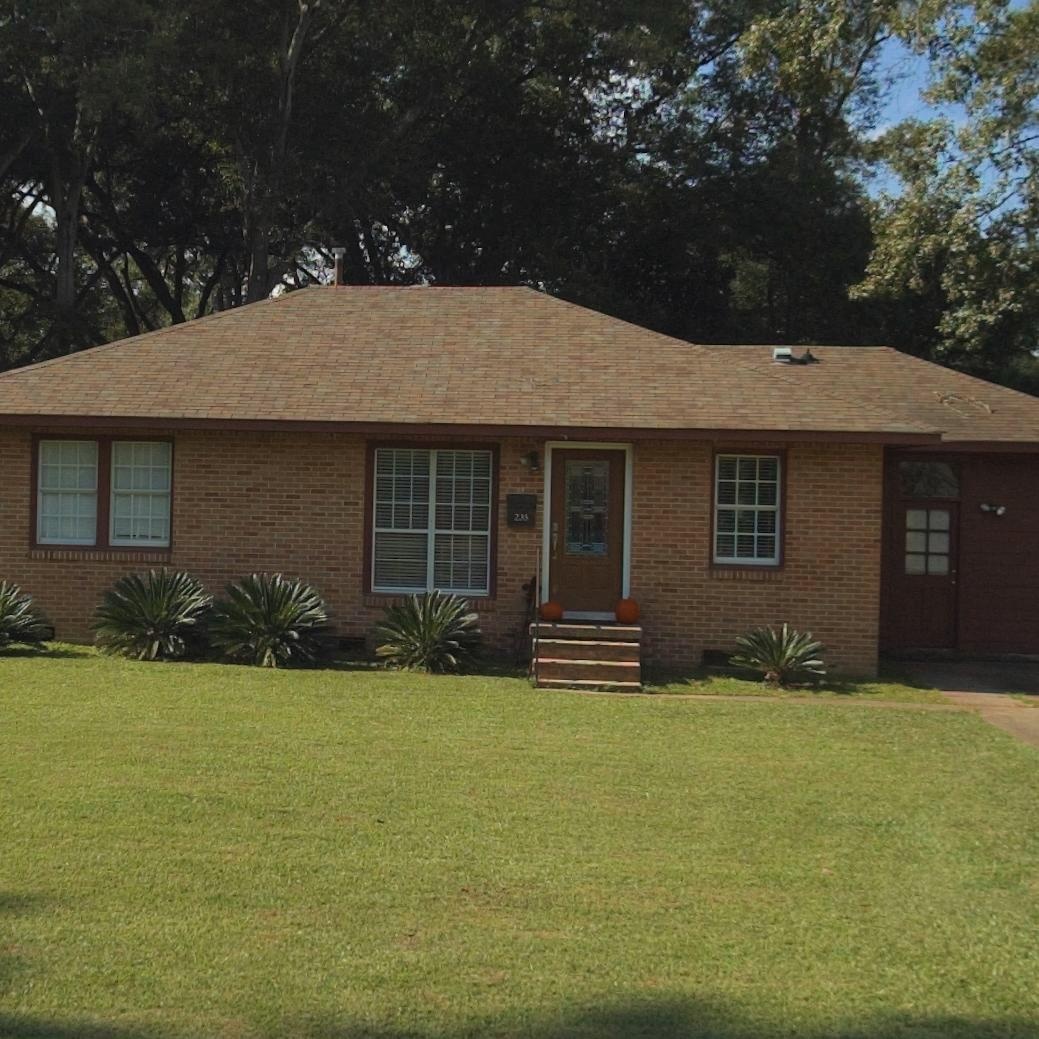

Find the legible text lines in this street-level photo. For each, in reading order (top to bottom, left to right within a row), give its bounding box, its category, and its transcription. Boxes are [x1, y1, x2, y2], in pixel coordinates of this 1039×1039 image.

[513, 513, 529, 521] StreetNumber: 235